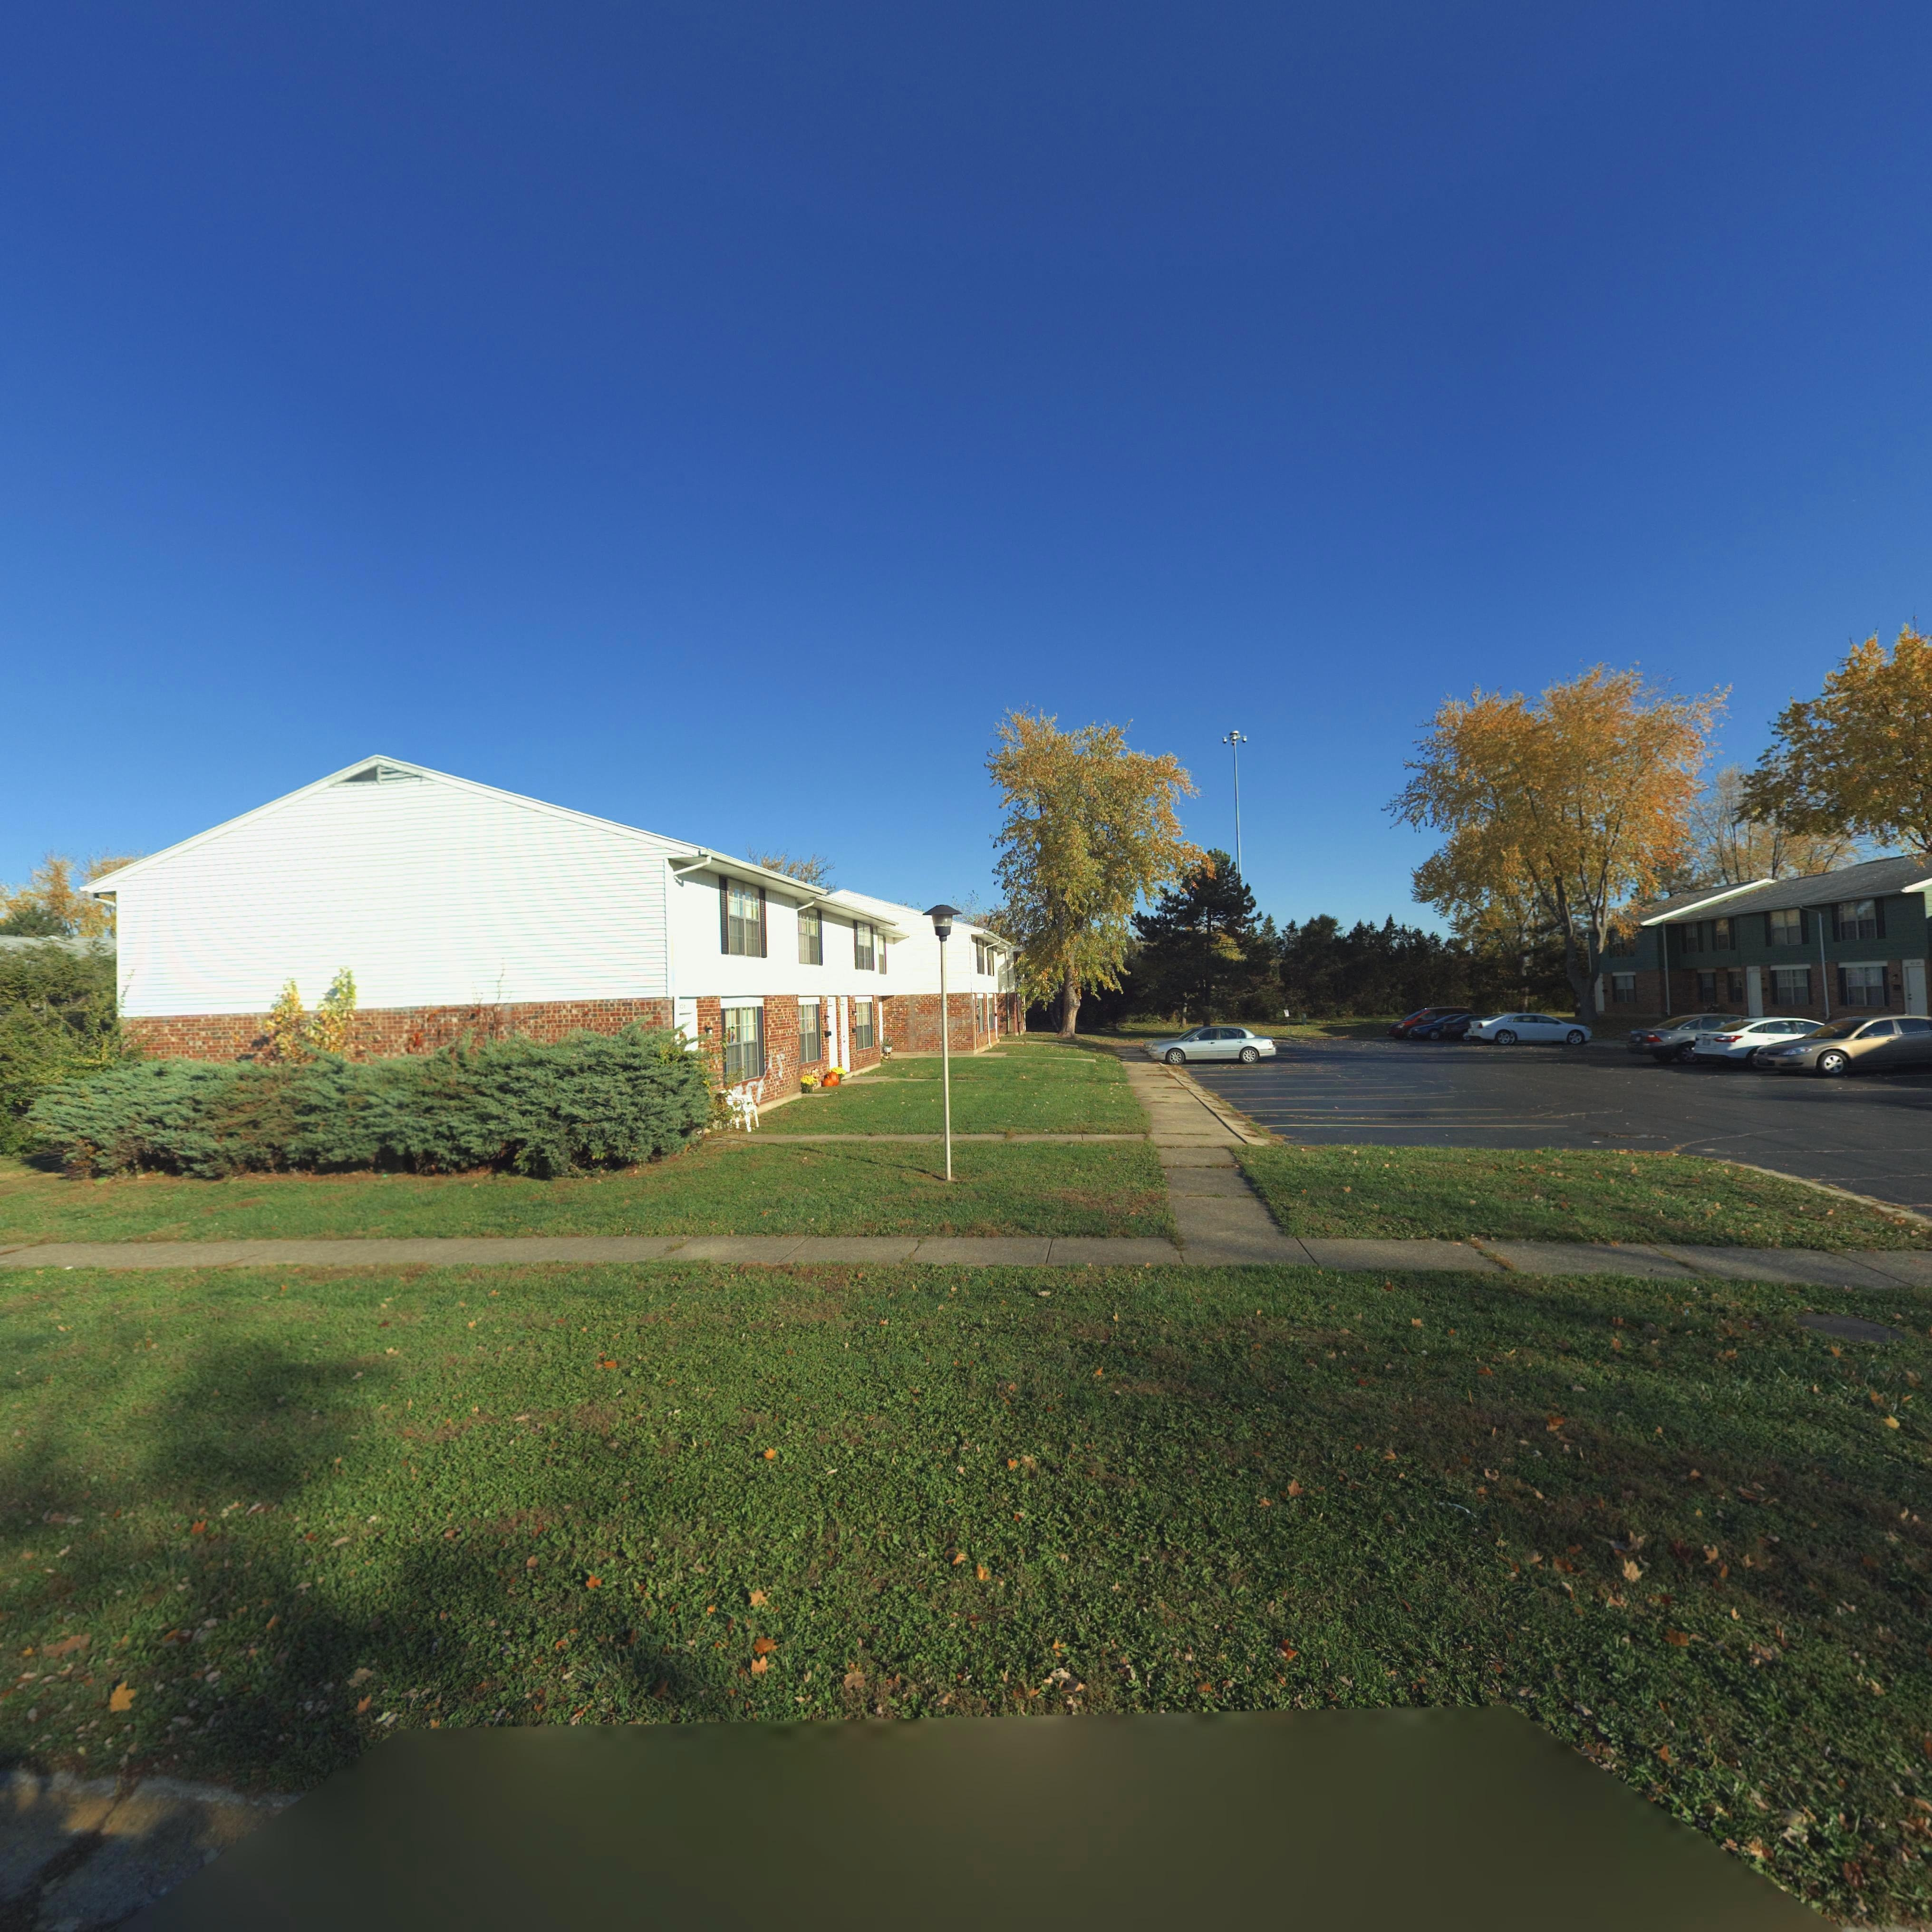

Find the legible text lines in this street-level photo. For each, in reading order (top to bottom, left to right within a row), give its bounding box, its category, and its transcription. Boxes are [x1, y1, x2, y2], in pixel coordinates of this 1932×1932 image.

[681, 1004, 684, 1009] StreetNumber: 3